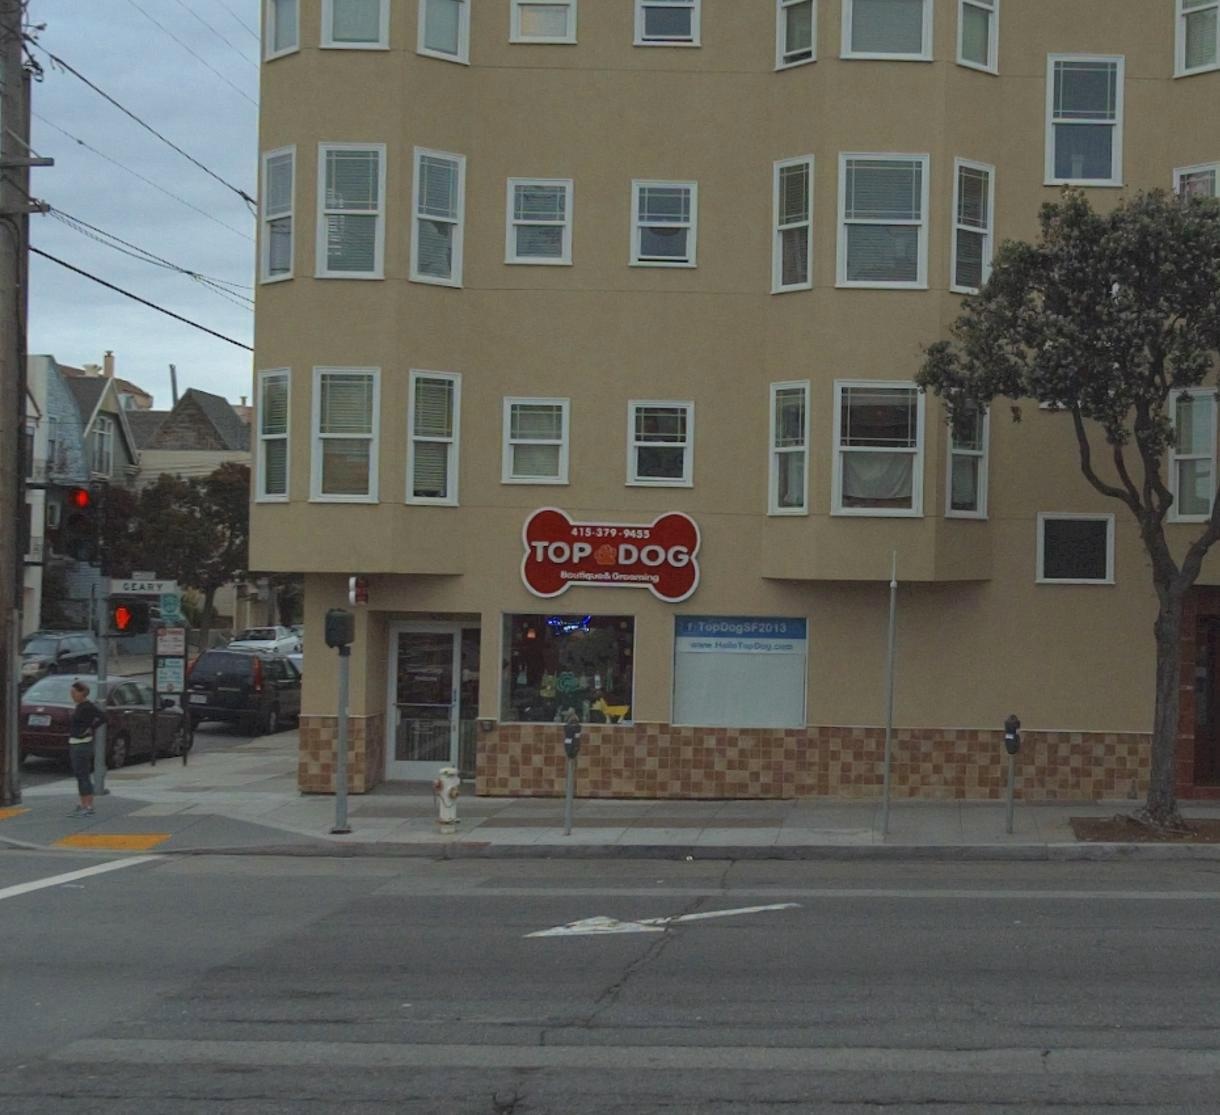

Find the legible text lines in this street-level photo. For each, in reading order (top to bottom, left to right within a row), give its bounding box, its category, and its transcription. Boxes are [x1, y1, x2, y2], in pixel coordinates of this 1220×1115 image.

[567, 524, 654, 541] None: 415-379-9455
[529, 537, 692, 570] BusinessName: TOP DOG
[611, 570, 663, 585] None: Grooming
[121, 580, 165, 594] StreetName: GEARY
[697, 620, 789, 636] None: TopDogSF2013
[688, 639, 795, 653] None: www.H****TopDog.com